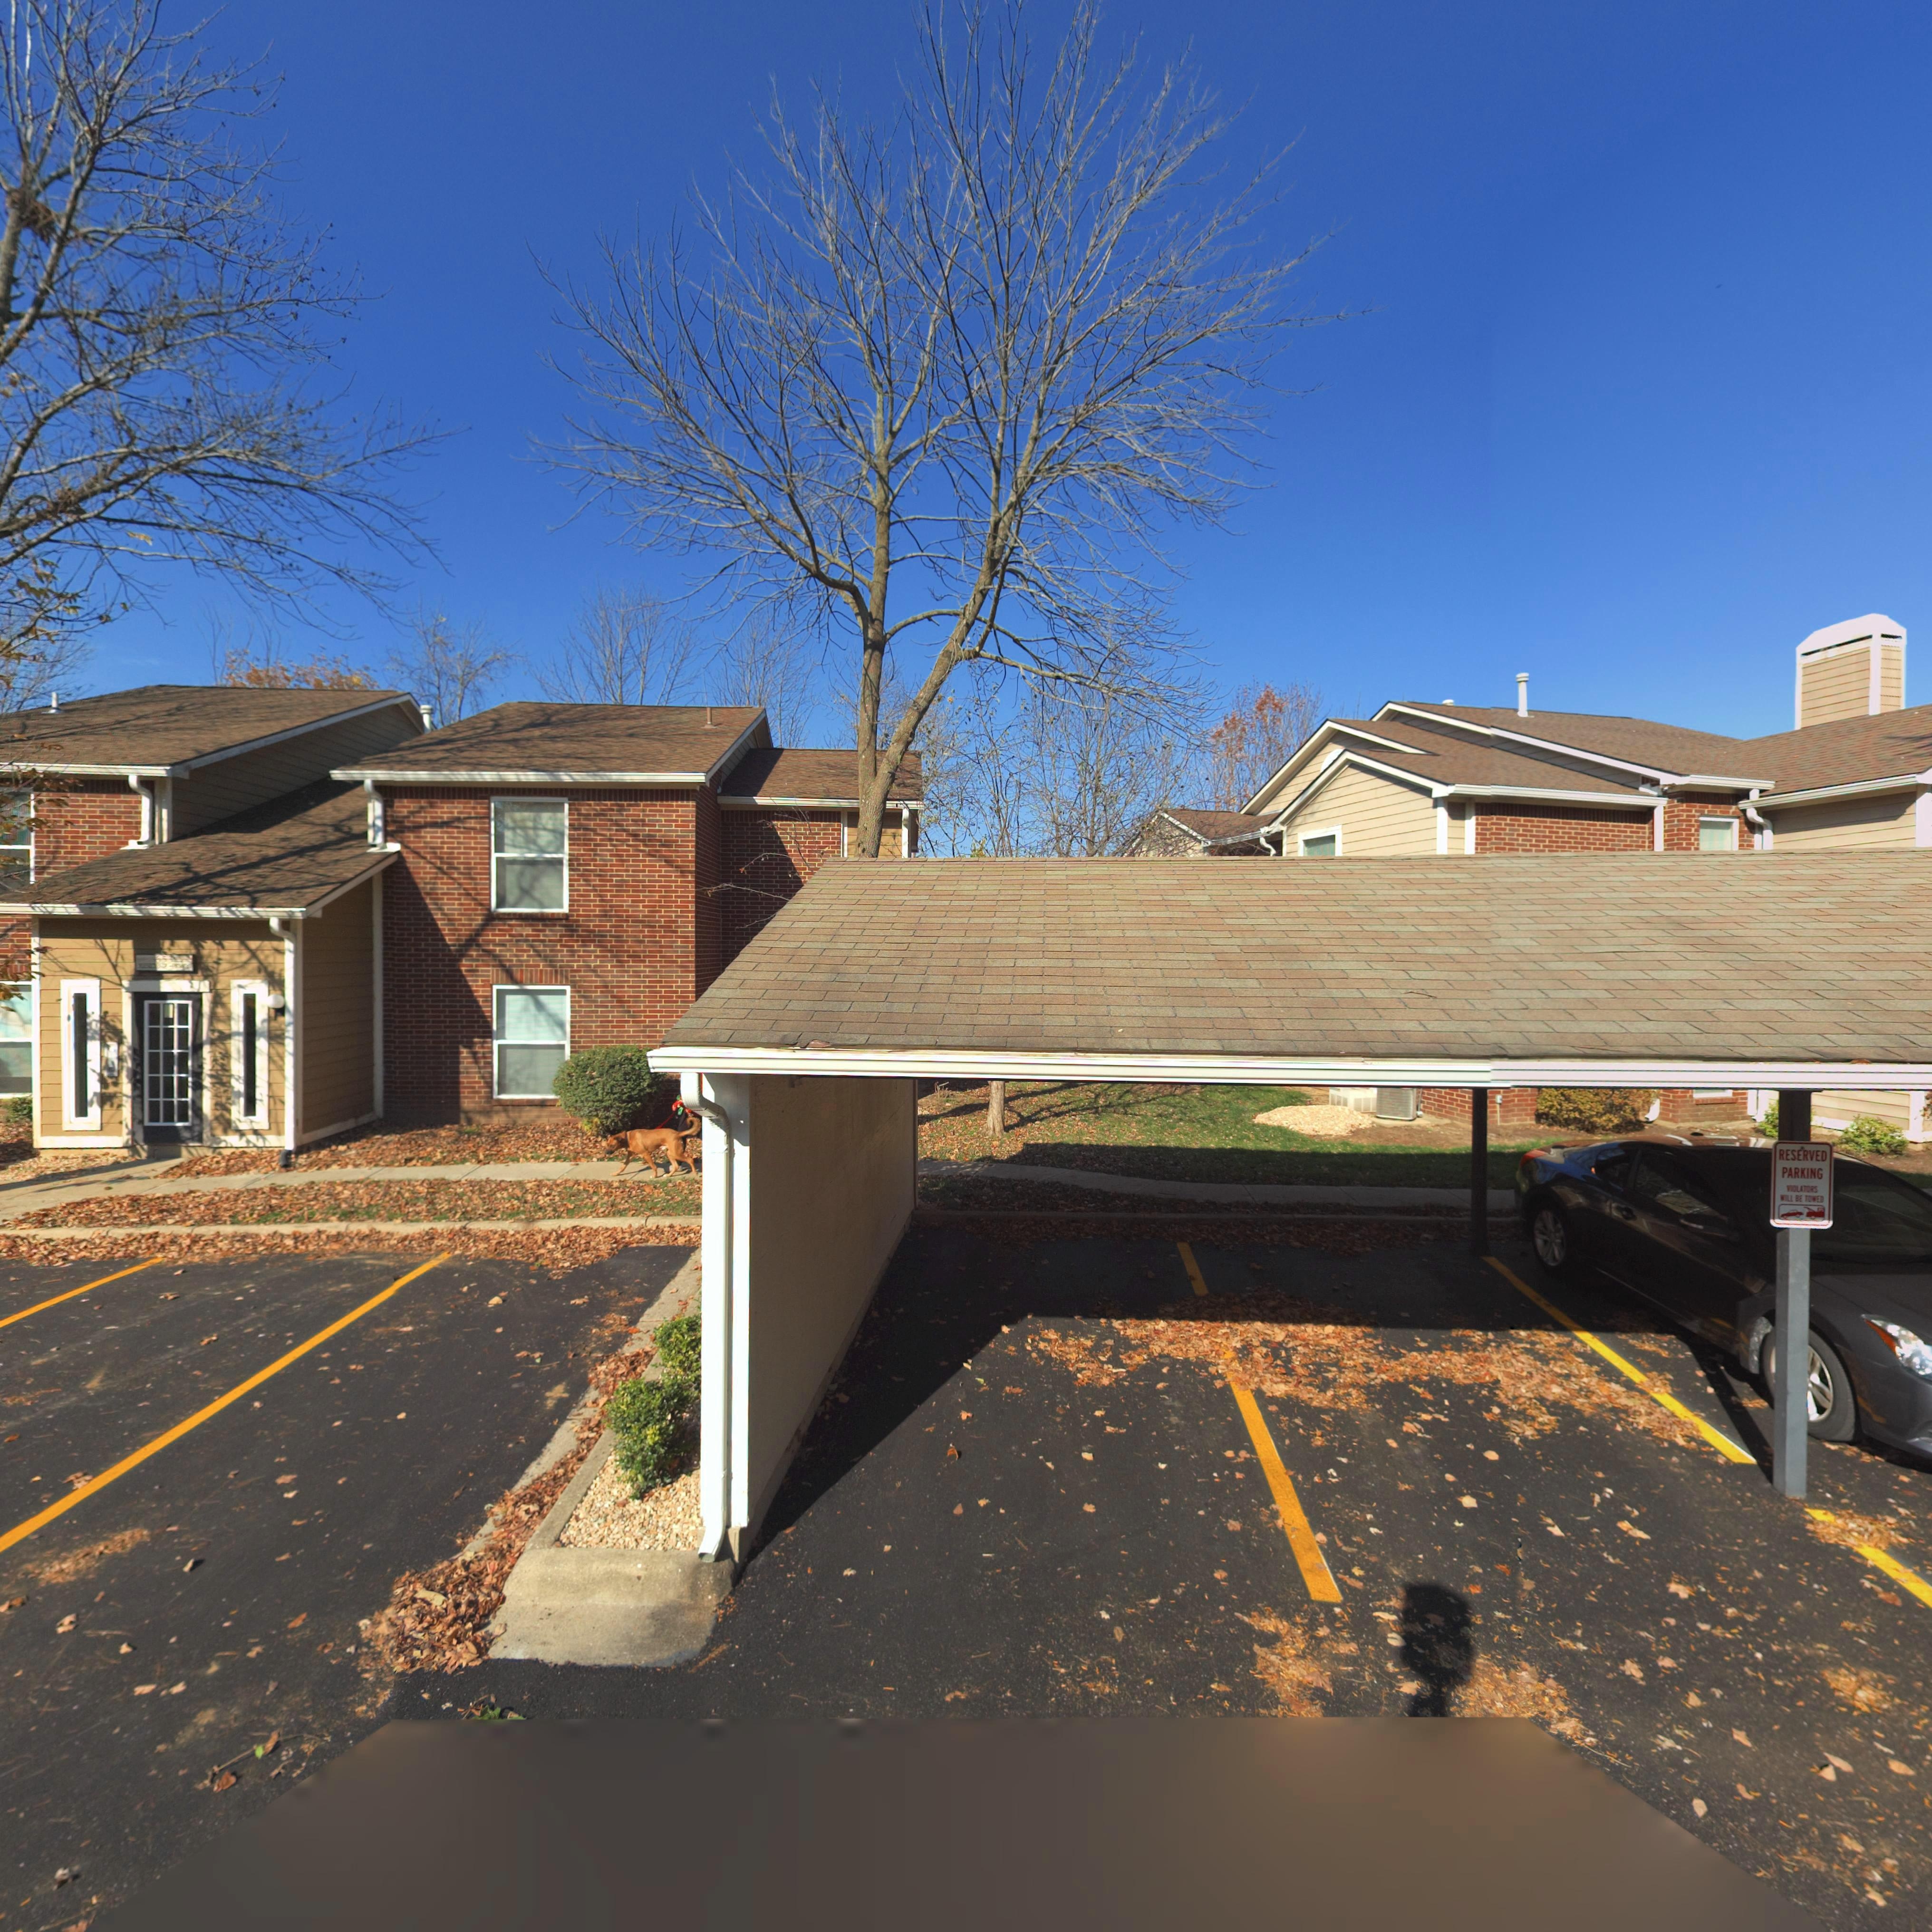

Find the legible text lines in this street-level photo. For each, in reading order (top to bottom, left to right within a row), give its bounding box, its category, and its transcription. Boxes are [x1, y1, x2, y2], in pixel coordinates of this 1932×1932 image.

[154, 955, 174, 965] StreetNumber: 65*
[1778, 1148, 1828, 1163] None: RESERVED
[1781, 1166, 1825, 1180] None: PARKING
[1785, 1184, 1819, 1195] None: ***LATORS
[1779, 1193, 1826, 1204] None: *ILL BE TO*ED